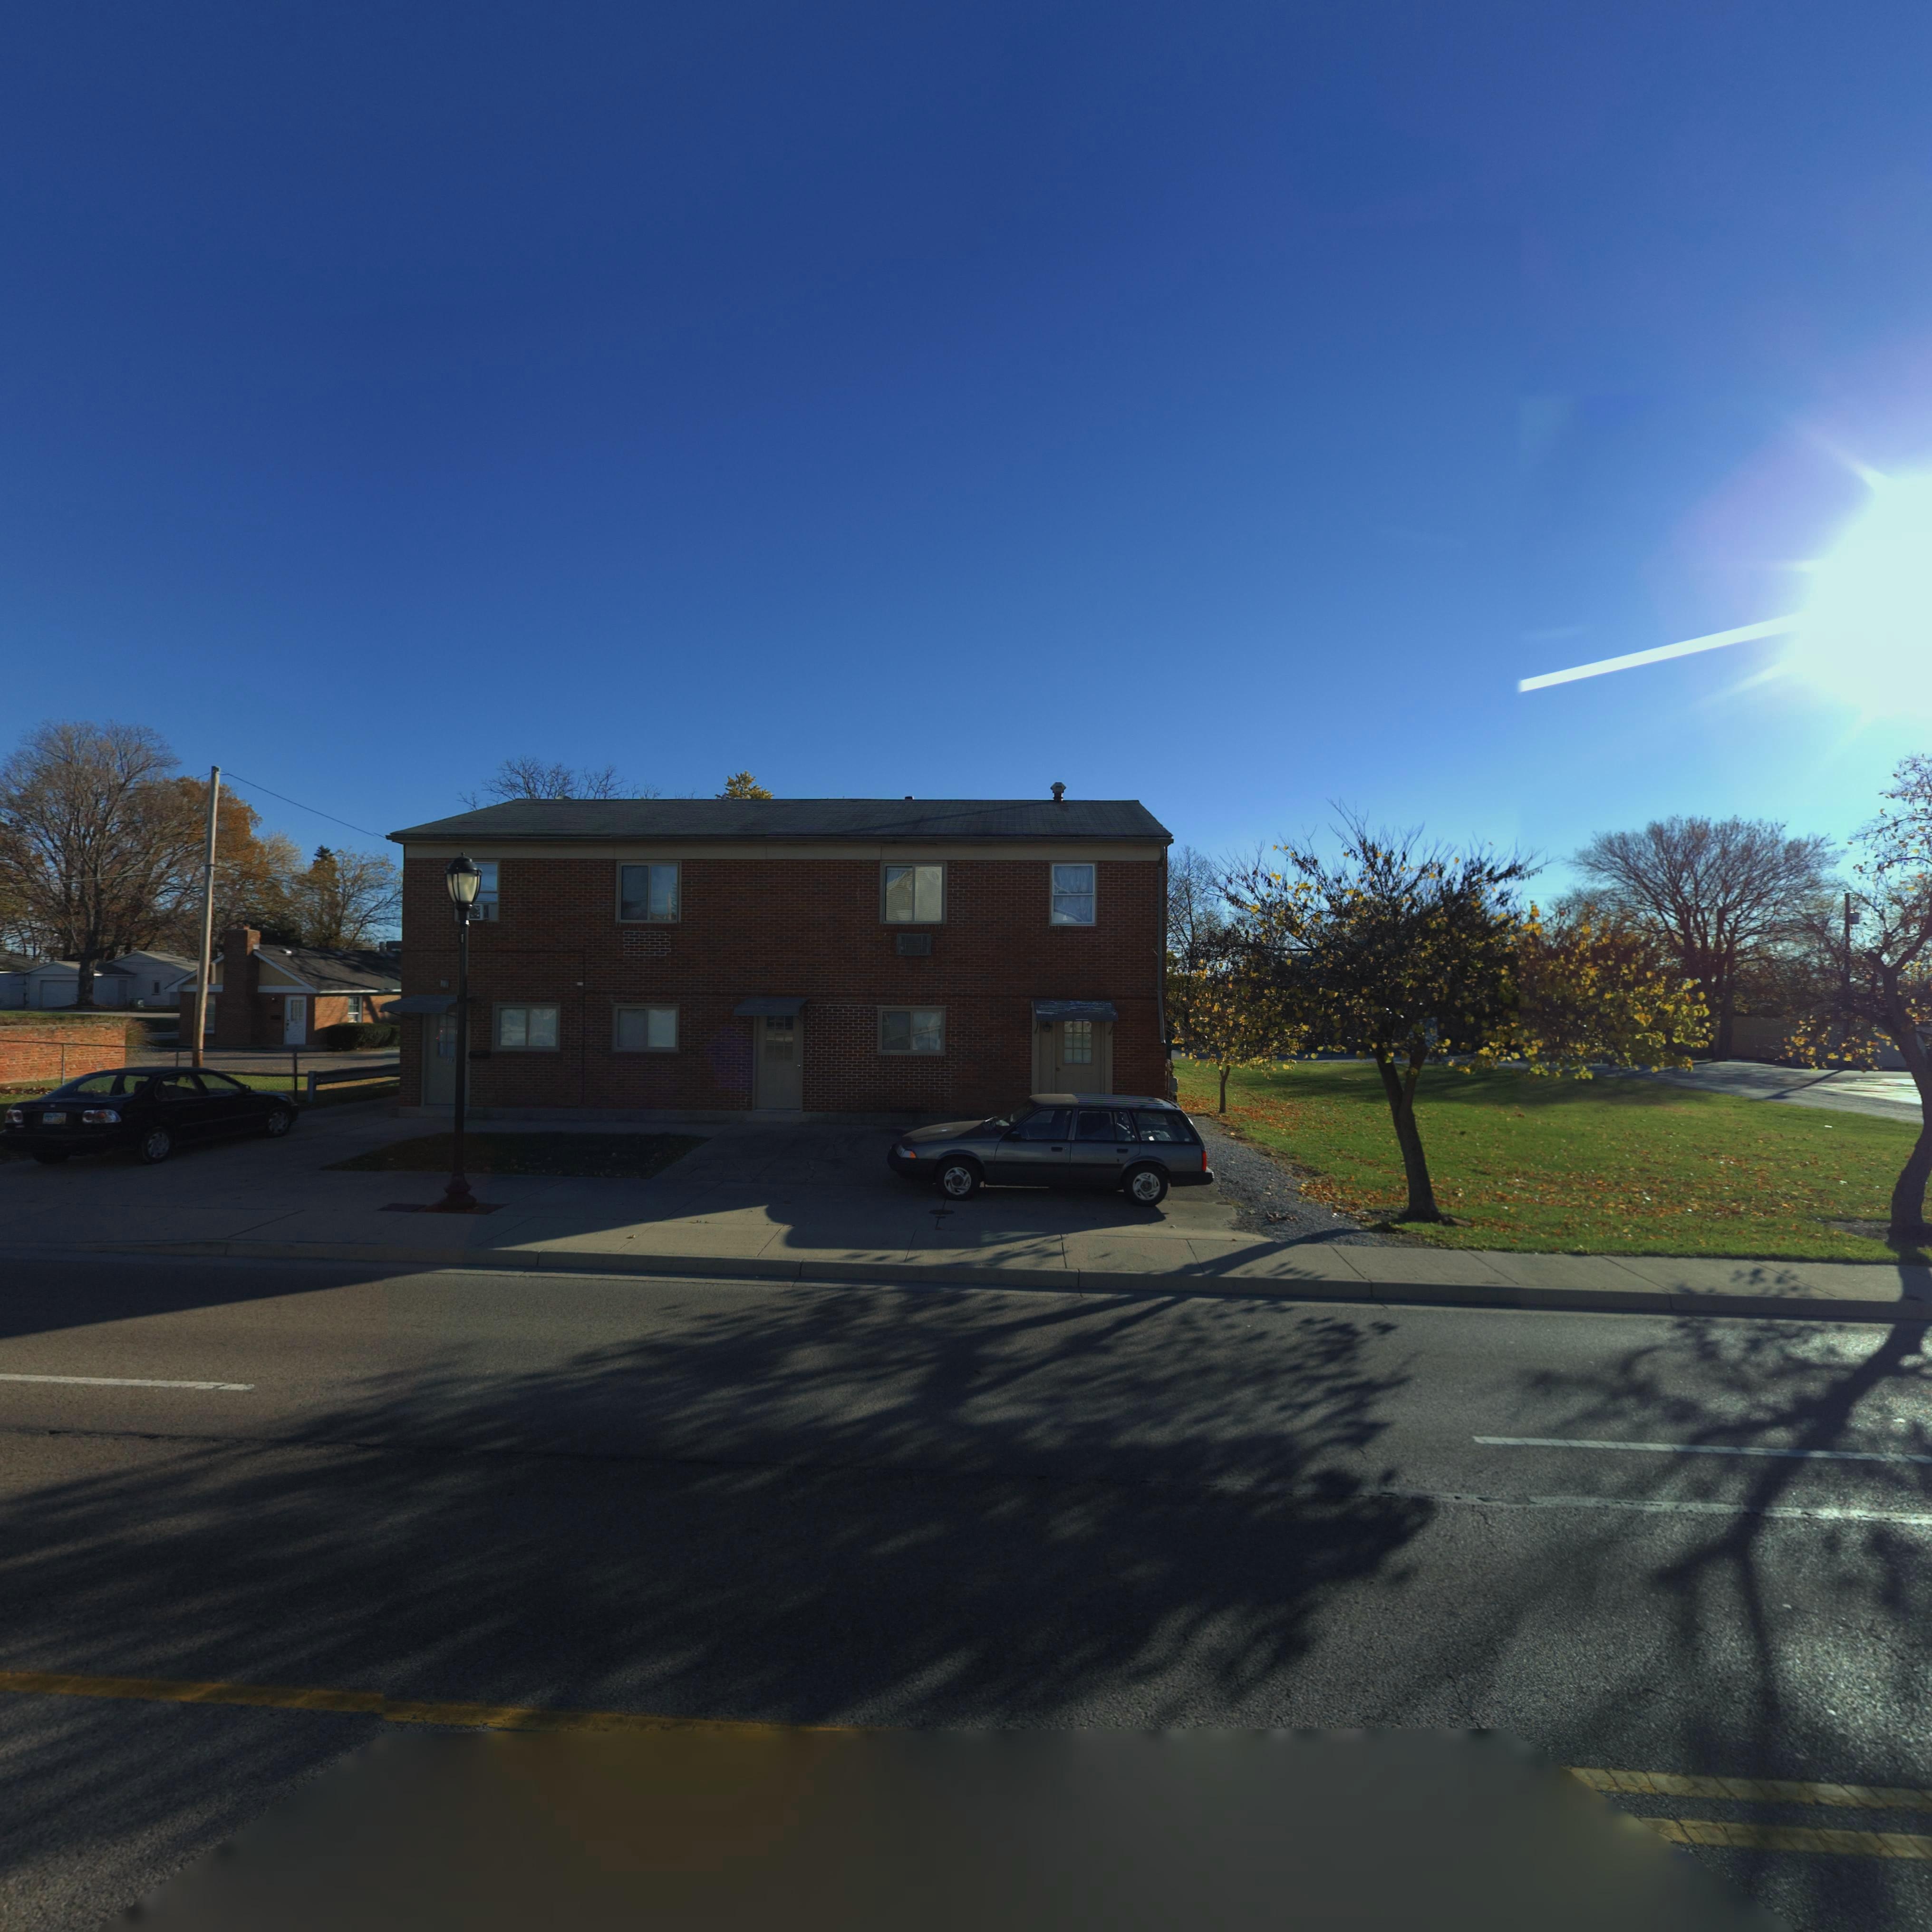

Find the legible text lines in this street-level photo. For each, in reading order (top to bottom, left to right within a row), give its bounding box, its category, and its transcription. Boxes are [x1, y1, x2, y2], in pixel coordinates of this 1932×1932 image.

[444, 1057, 454, 1063] StreetNumber: 11*